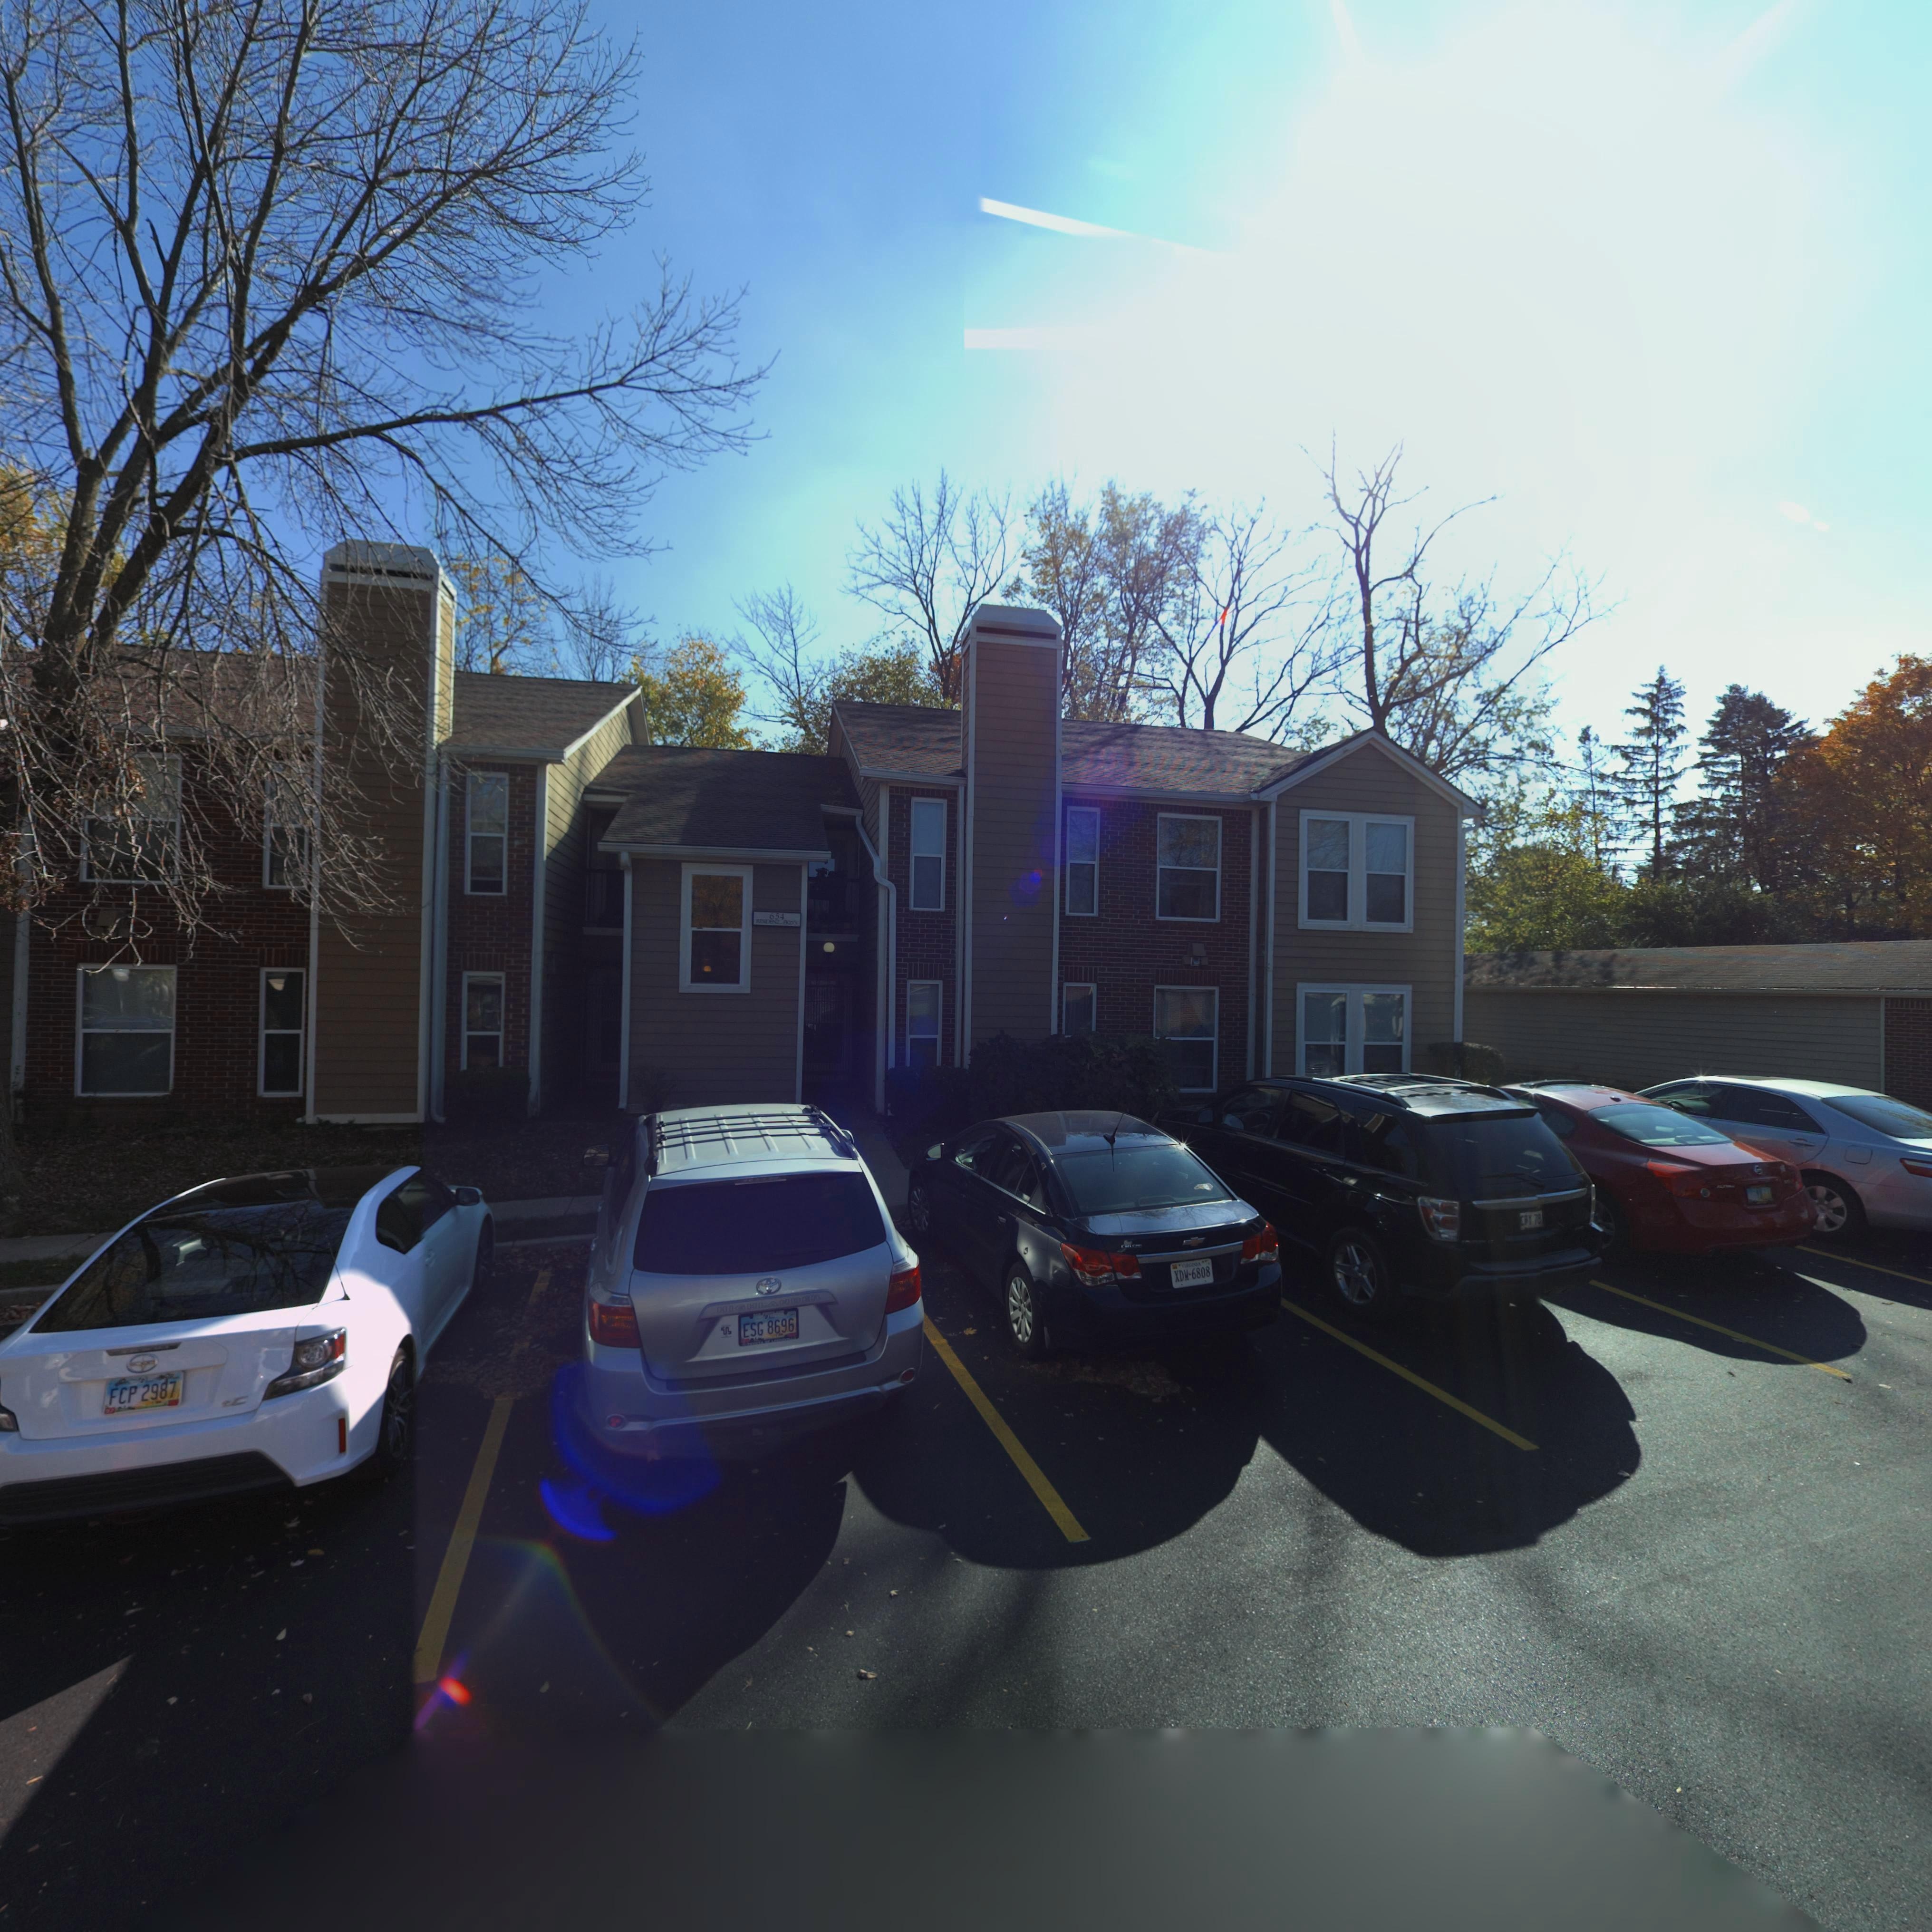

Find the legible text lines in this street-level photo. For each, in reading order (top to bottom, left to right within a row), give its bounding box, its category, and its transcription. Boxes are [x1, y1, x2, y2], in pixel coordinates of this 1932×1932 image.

[768, 912, 785, 920] StreetNumber: 654
[1519, 1212, 1543, 1227] None: *** 78
[1173, 1265, 1212, 1283] None: XD*-6808
[716, 1293, 823, 1314] None: HIGHLANDER
[742, 1316, 796, 1339] None: ESG 8696
[107, 1379, 178, 1407] None: FCP 2987